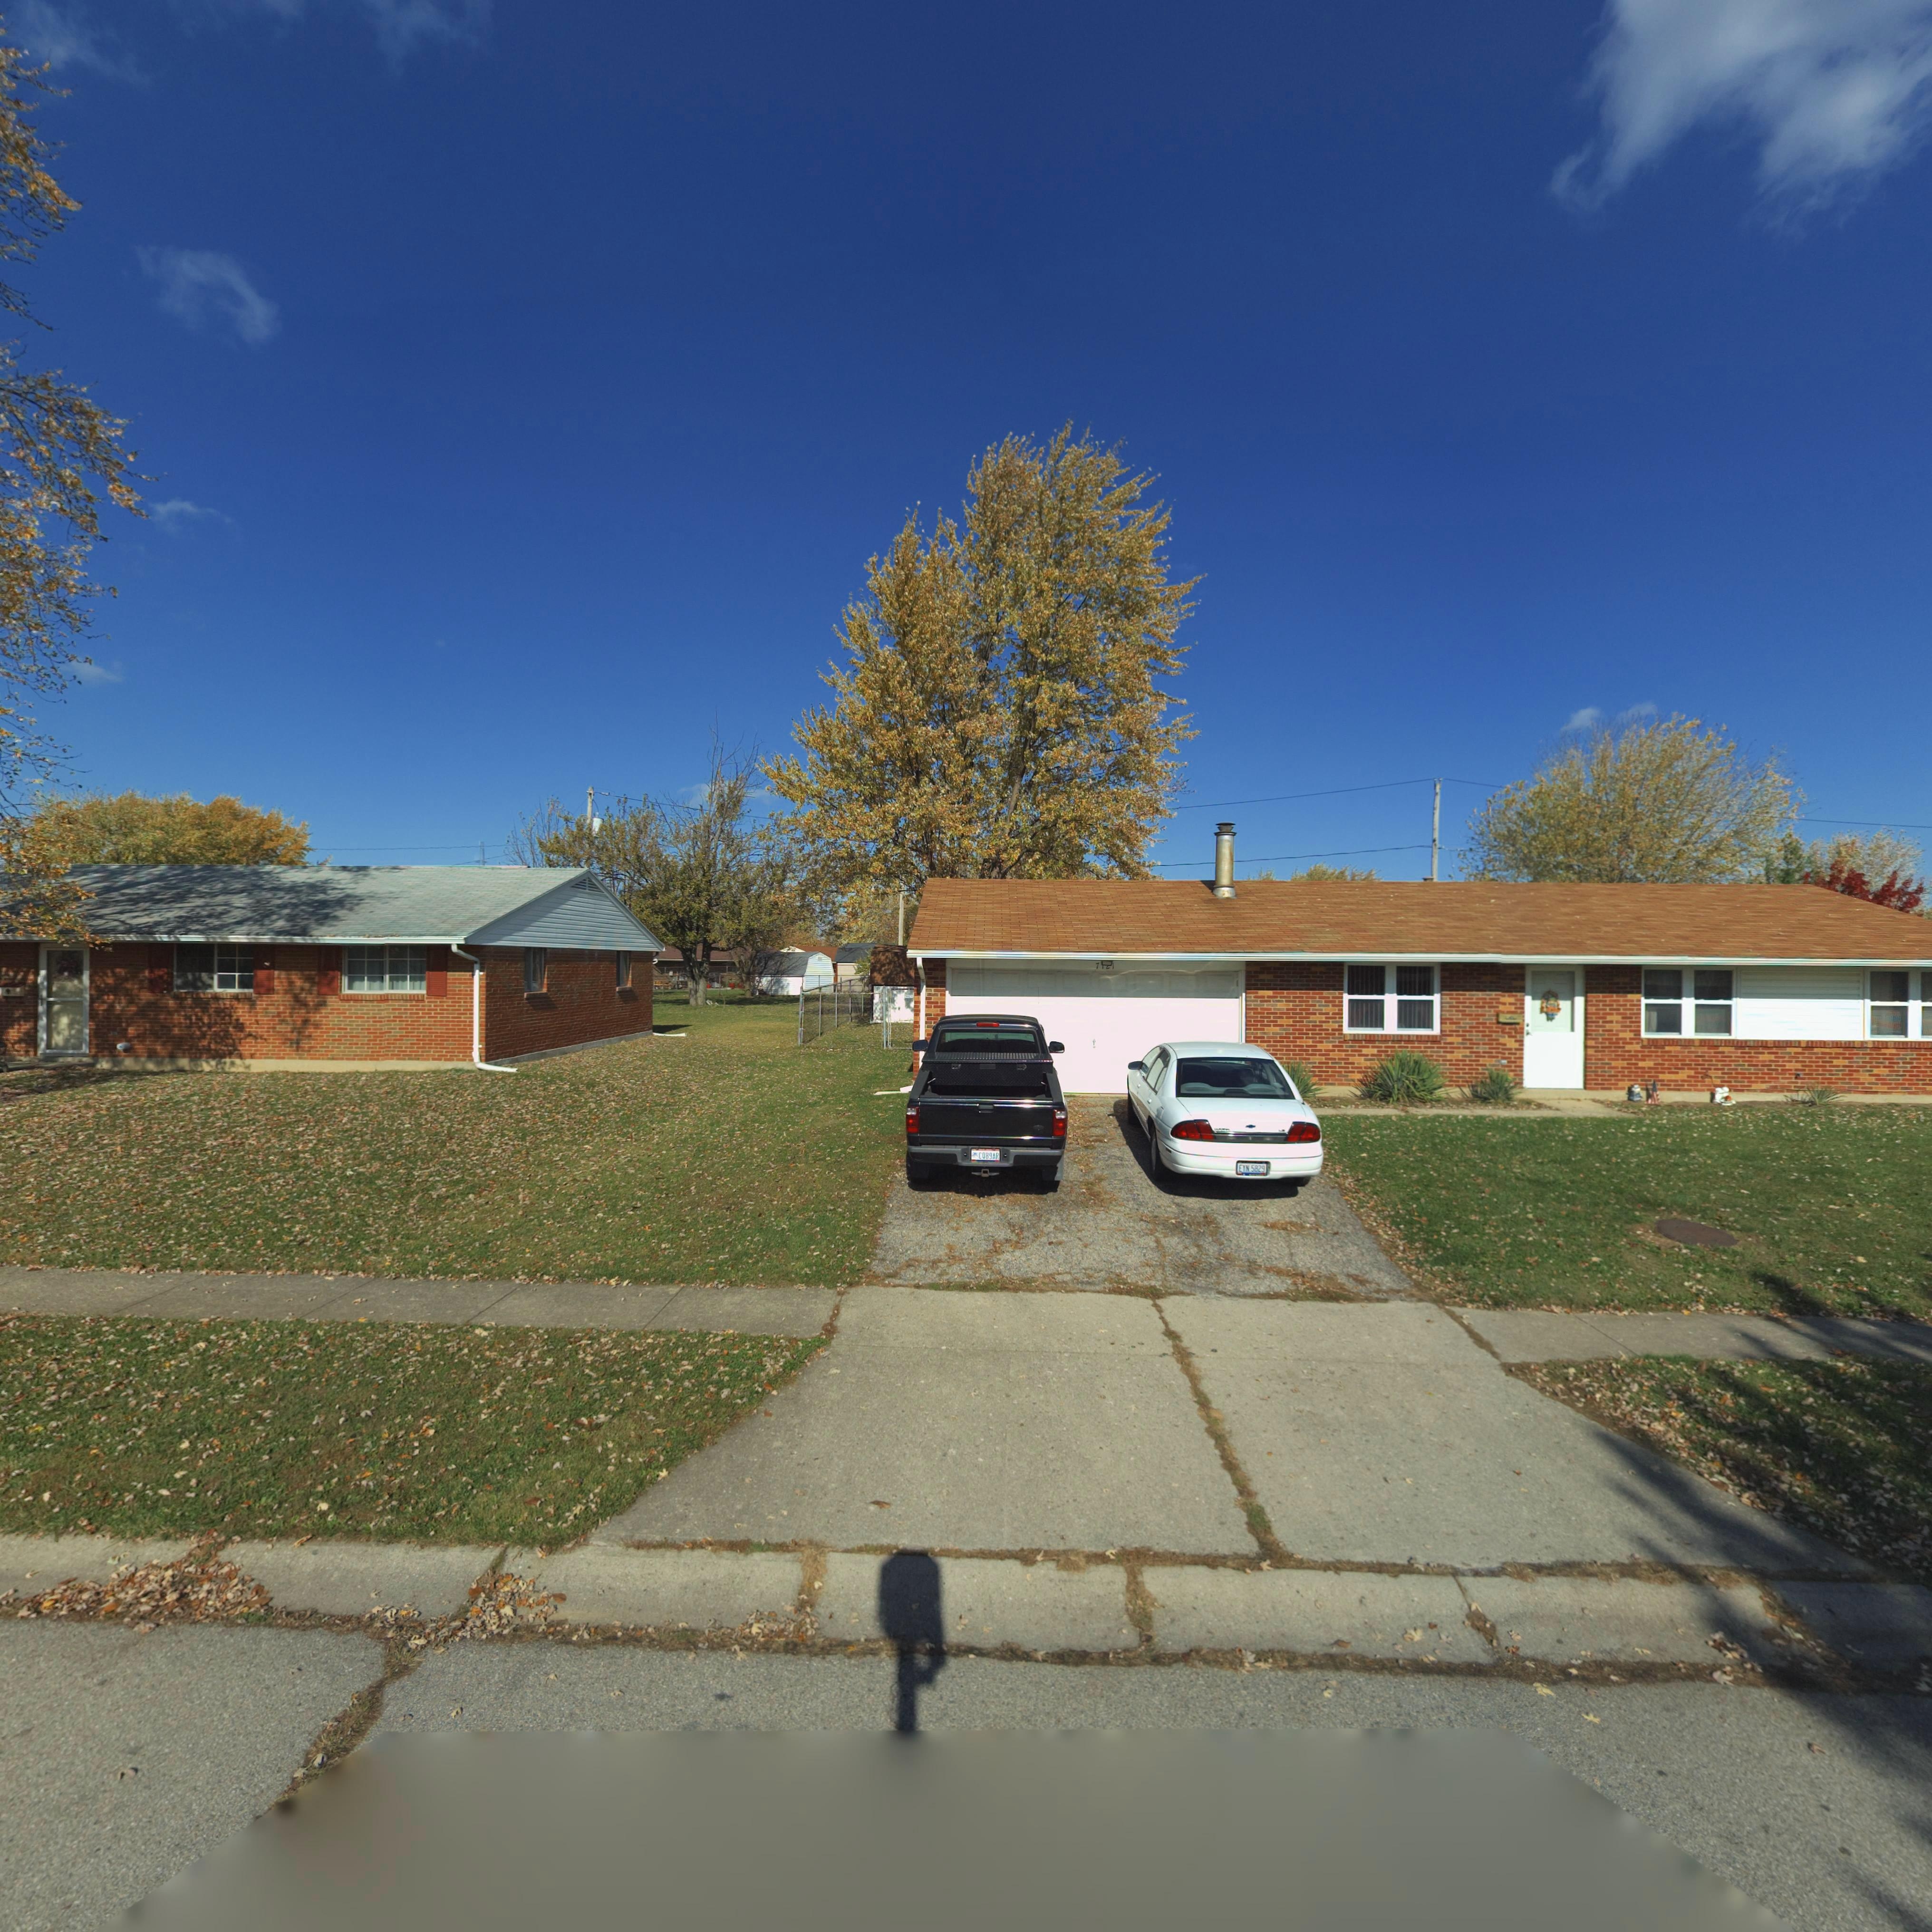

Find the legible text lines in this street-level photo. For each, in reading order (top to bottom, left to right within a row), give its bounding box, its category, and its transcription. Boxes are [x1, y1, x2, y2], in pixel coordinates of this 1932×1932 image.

[1094, 962, 1115, 971] StreetNumber: 7**1